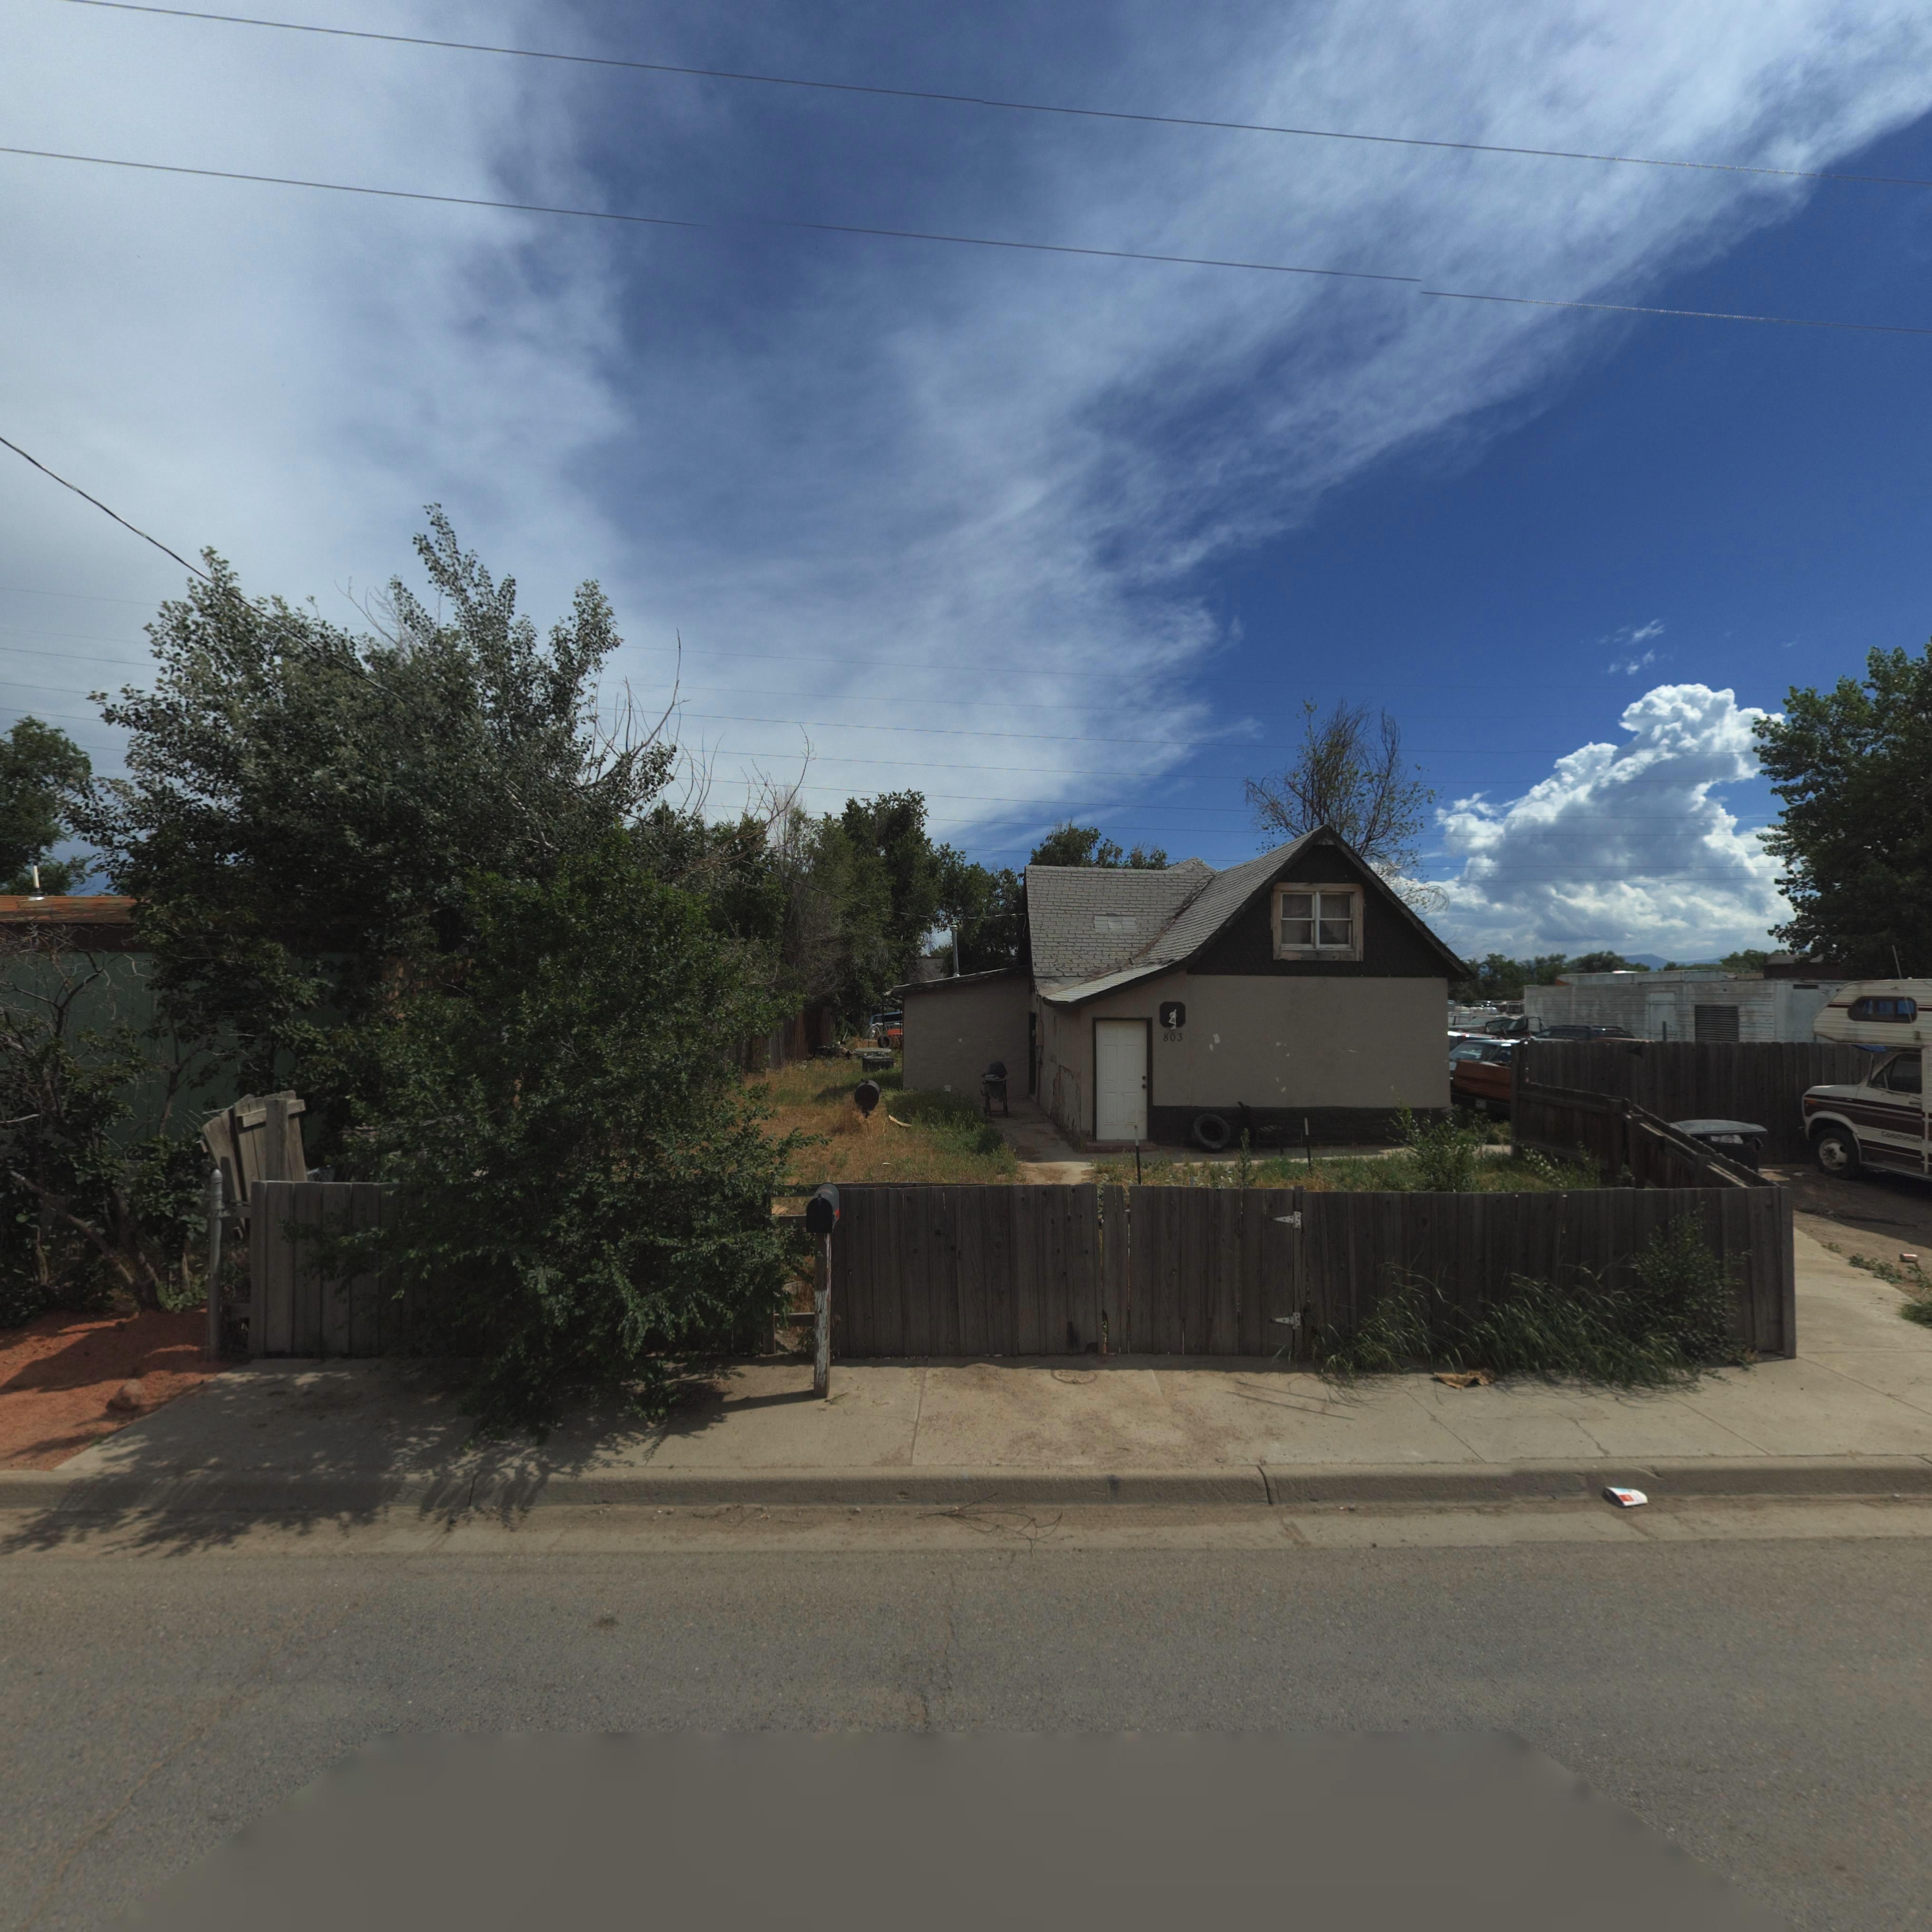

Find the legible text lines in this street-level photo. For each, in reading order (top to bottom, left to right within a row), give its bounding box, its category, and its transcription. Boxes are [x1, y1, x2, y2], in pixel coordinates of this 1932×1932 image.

[1163, 1033, 1183, 1042] StreetNumber: 803